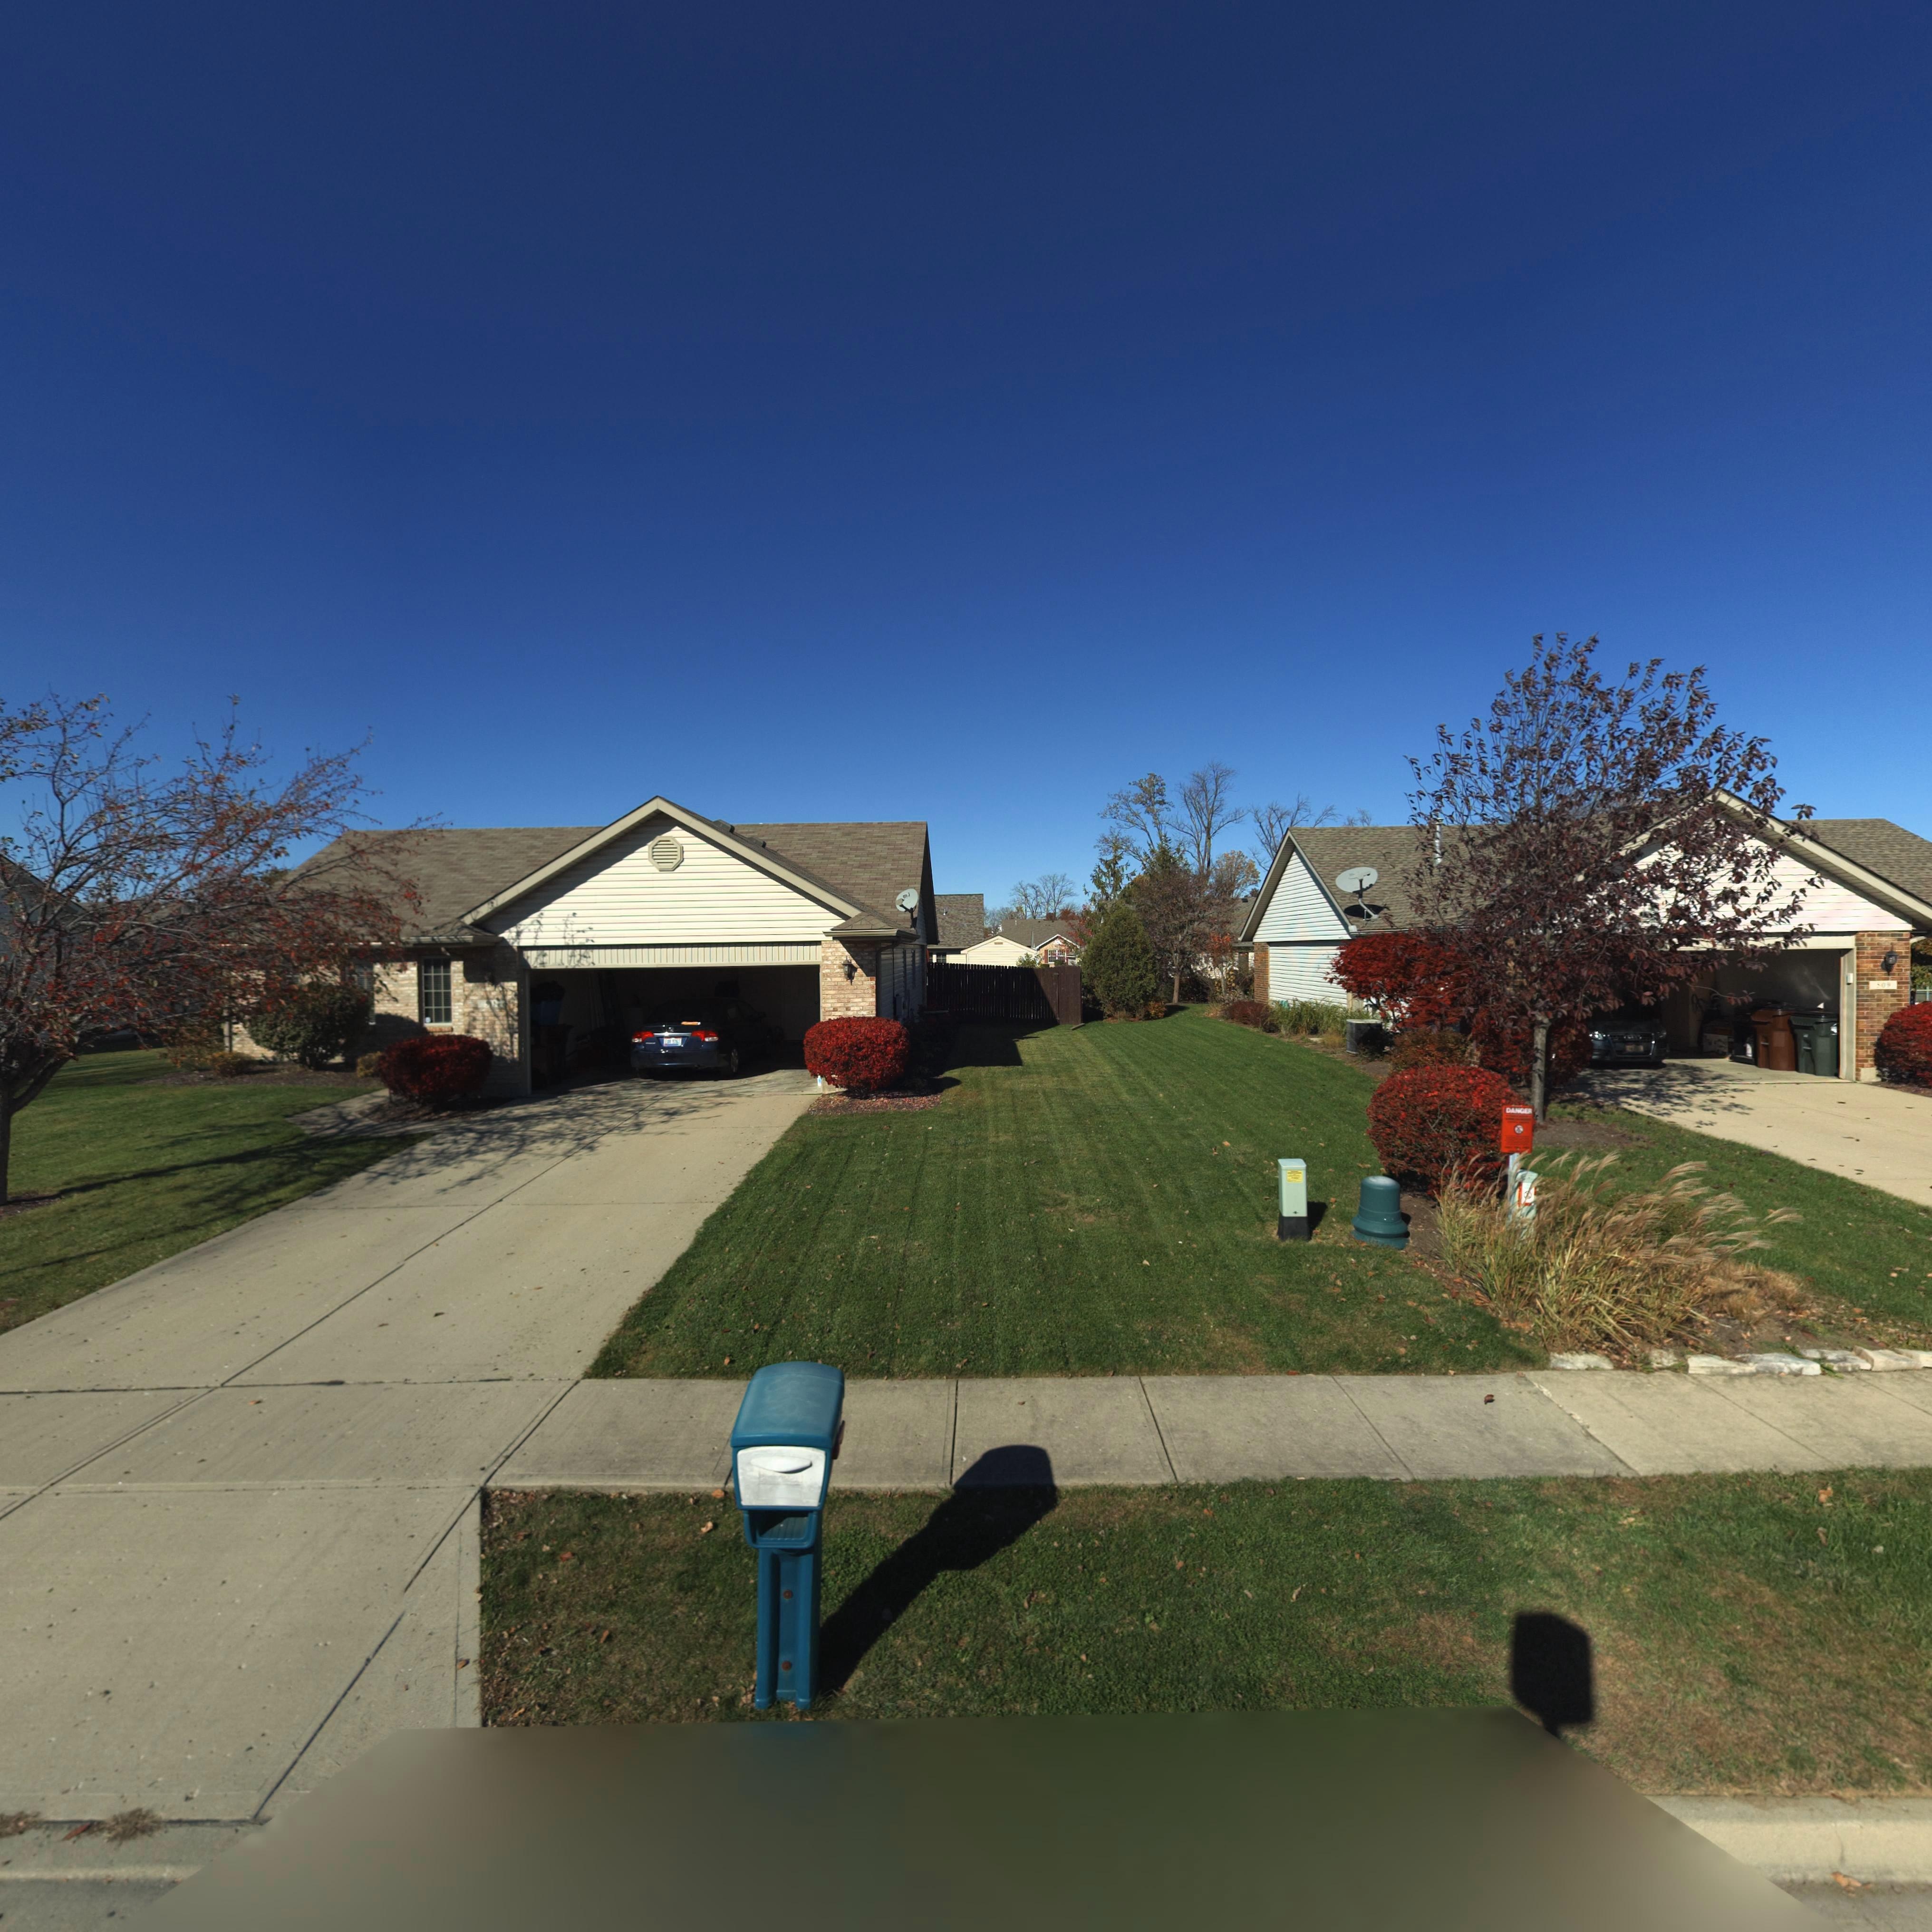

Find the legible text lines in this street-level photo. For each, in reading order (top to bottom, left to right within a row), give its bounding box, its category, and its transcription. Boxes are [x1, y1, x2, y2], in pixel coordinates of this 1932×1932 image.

[1876, 981, 1892, 989] StreetNumber: *0*